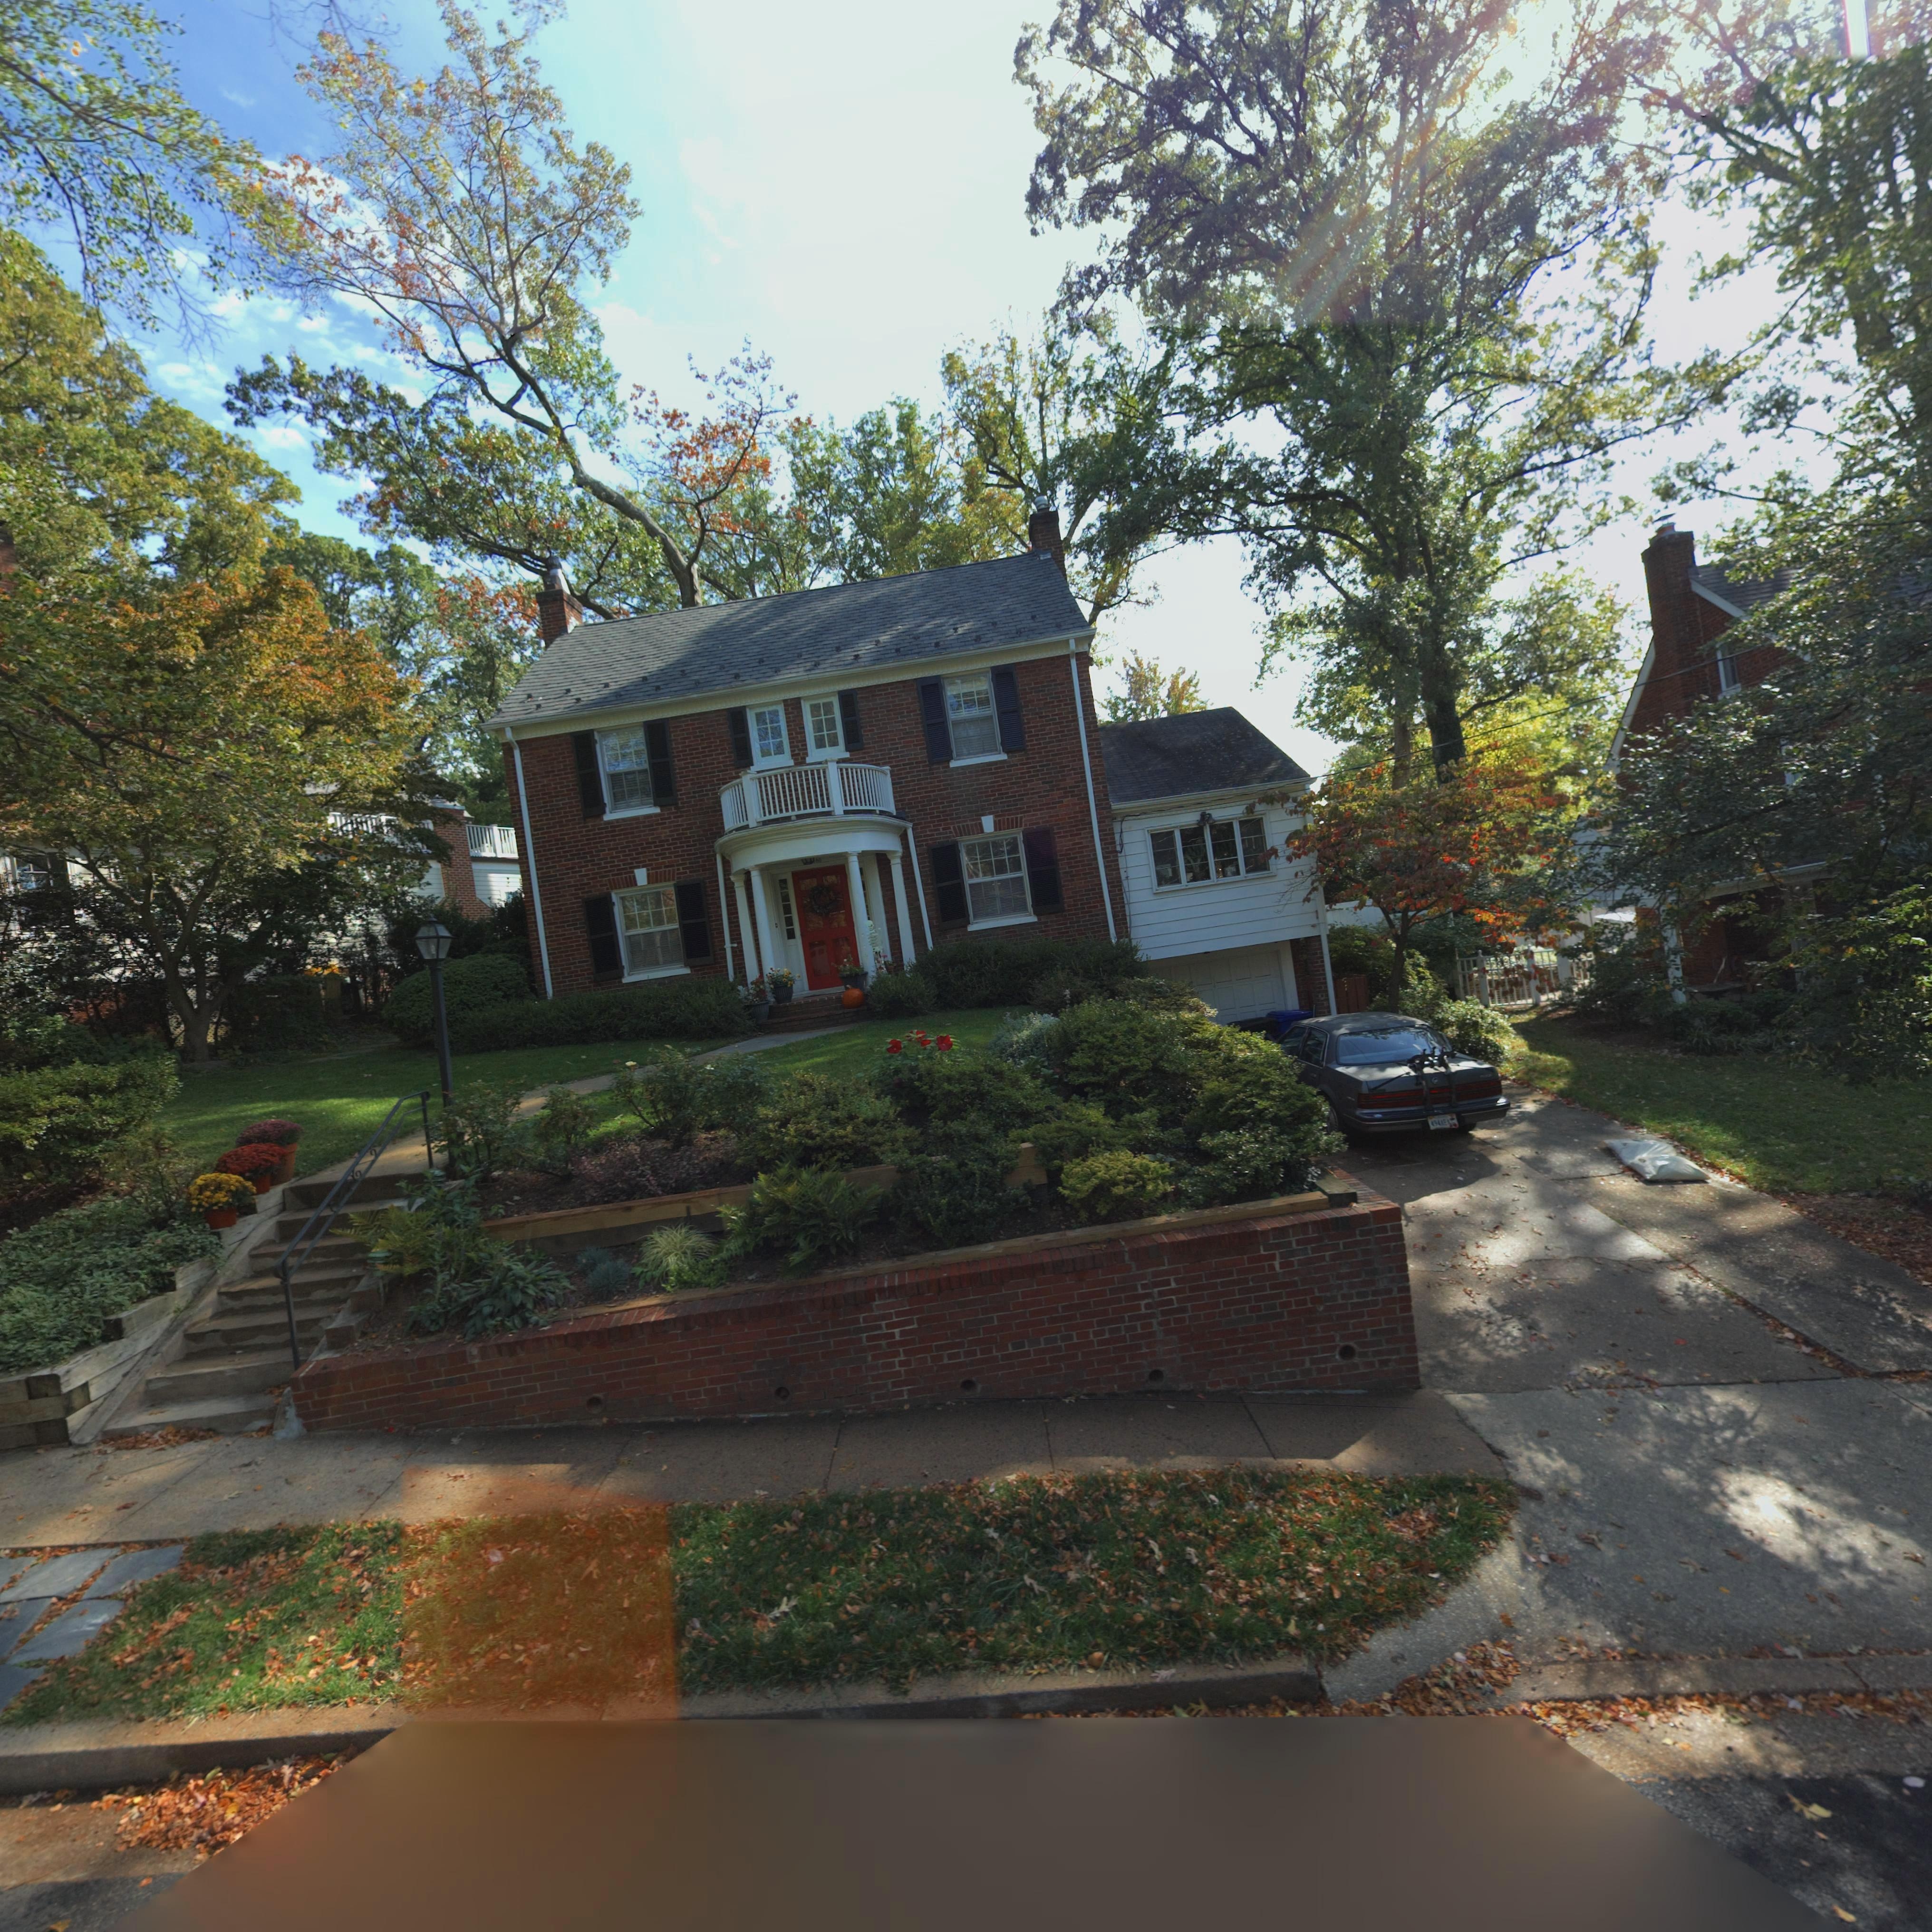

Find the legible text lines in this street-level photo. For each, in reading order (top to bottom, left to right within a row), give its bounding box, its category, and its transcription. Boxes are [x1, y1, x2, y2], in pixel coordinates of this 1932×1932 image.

[814, 856, 823, 865] StreetNumber: 80
[1429, 1118, 1442, 1128] None: *9*